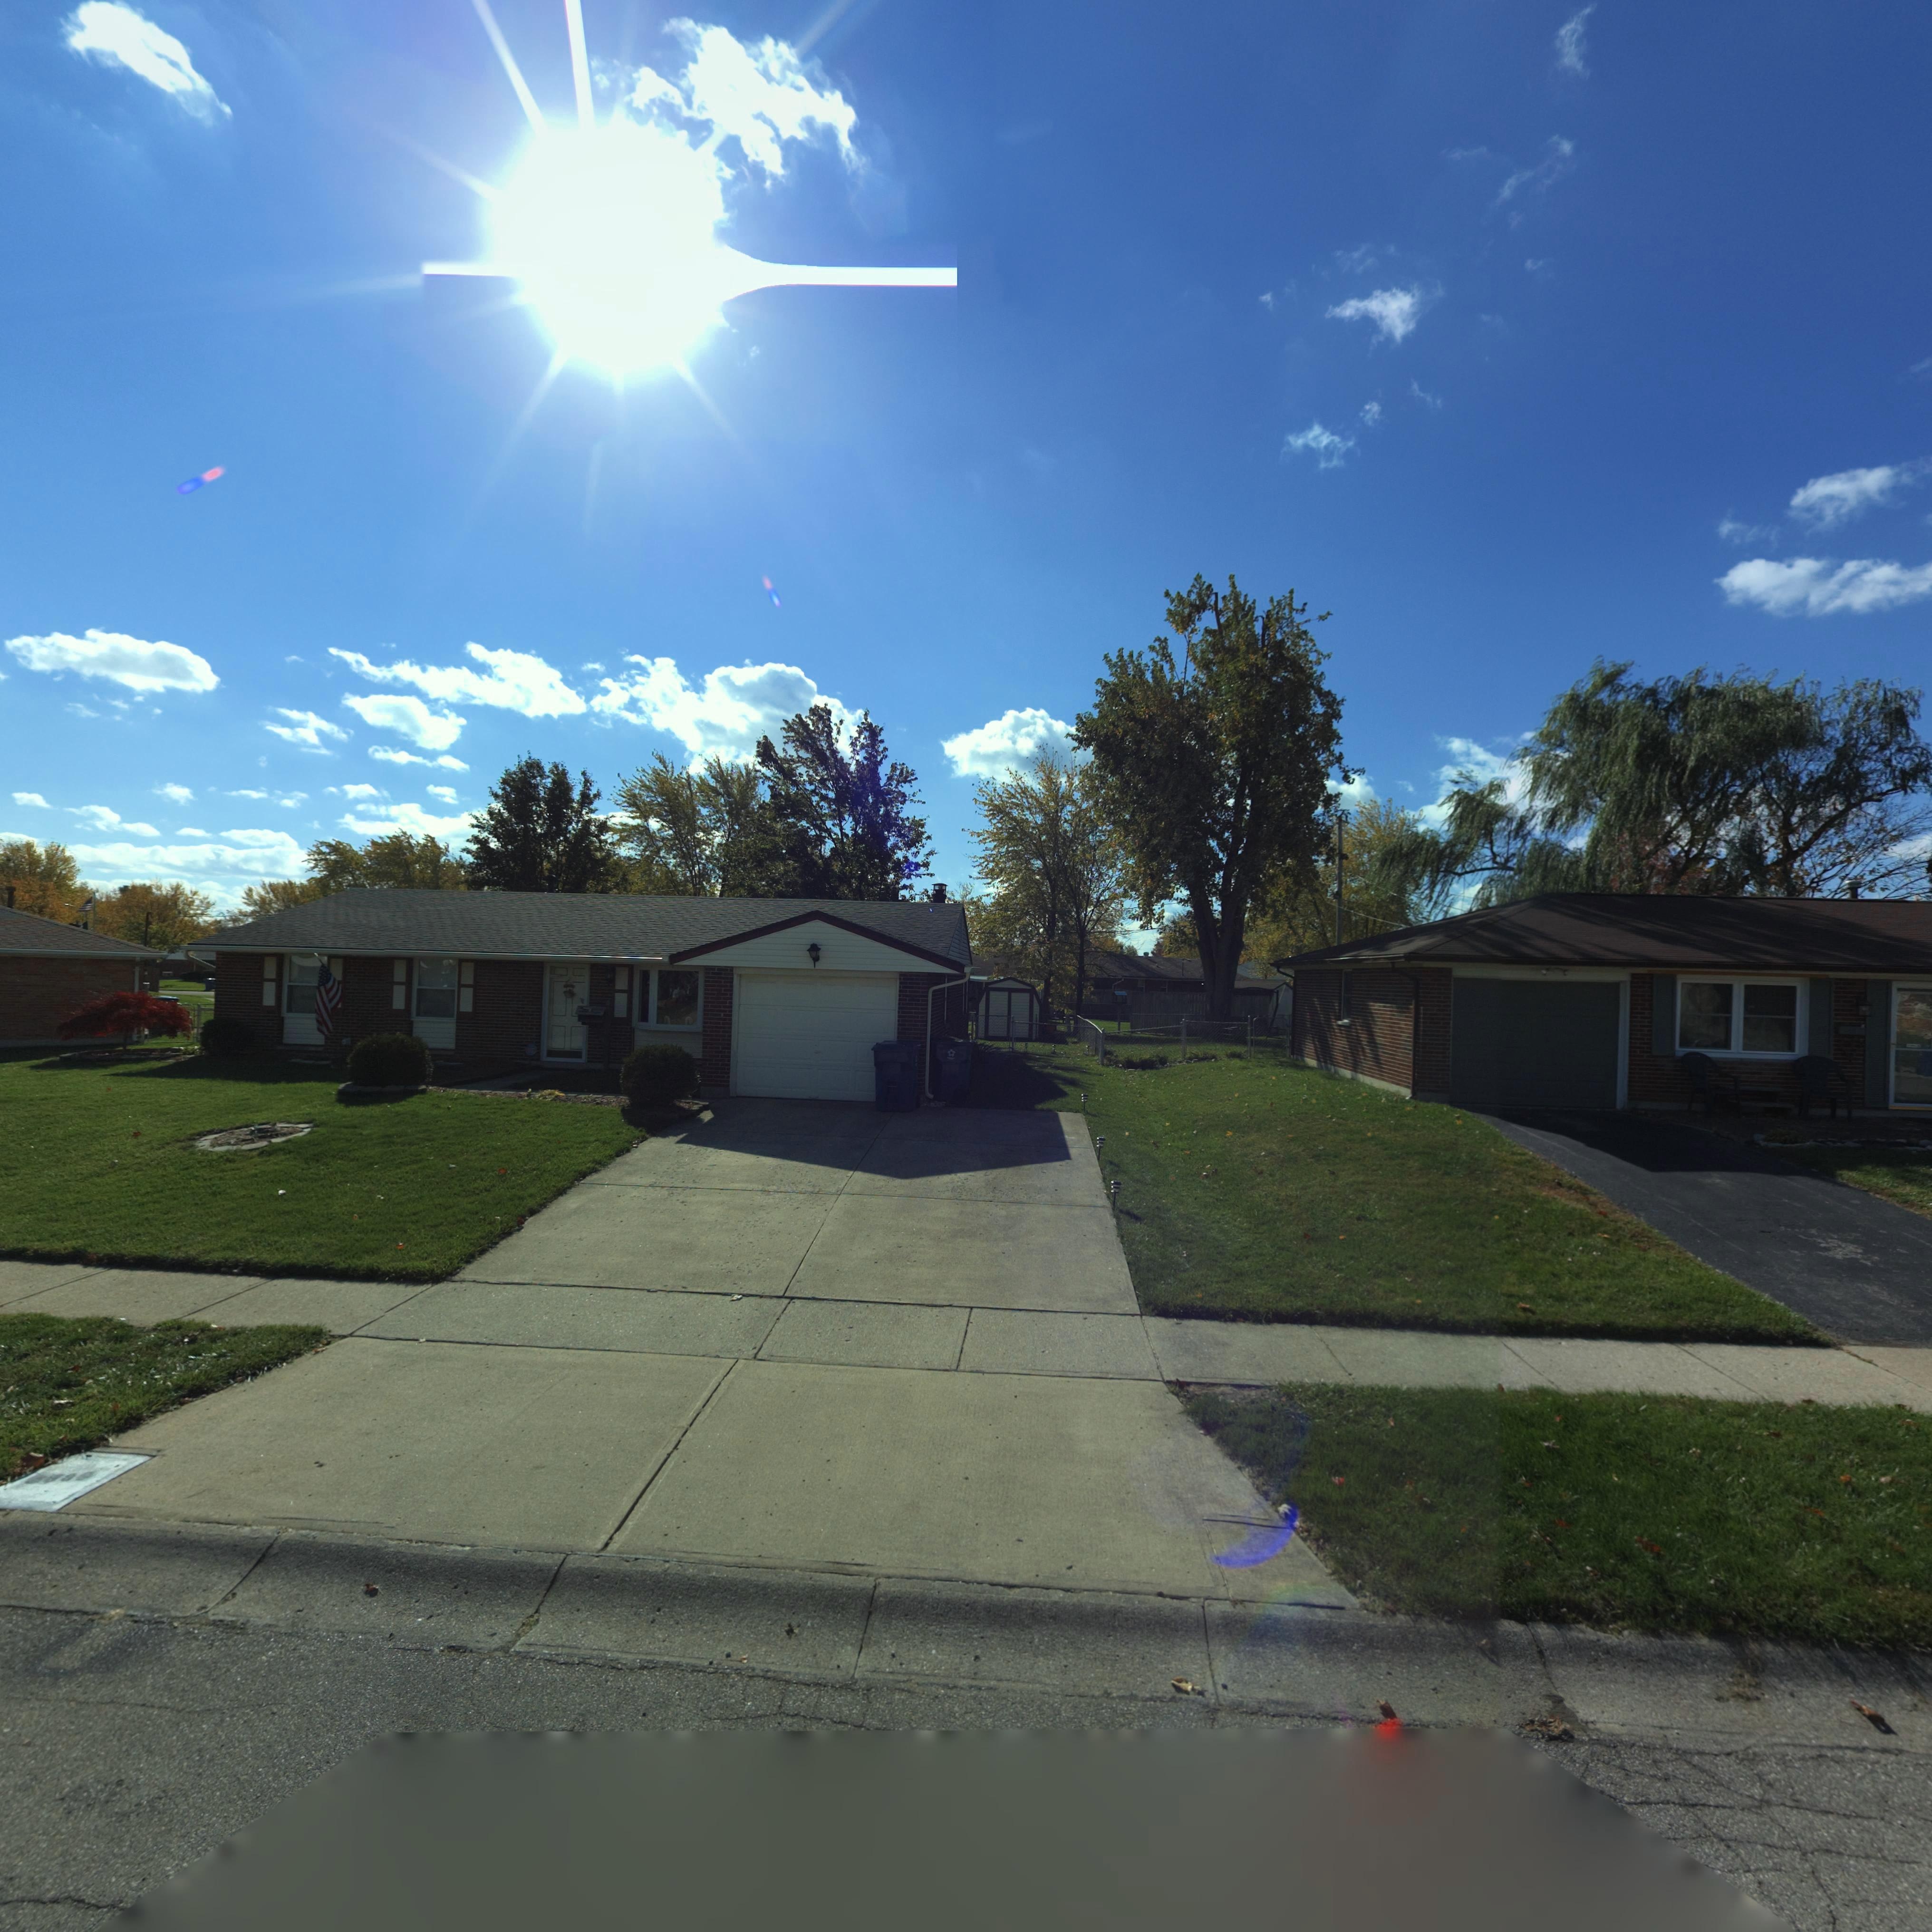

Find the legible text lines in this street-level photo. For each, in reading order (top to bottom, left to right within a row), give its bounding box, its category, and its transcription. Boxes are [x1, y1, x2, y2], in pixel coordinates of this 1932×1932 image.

[58, 1470, 96, 1483] StreetNumber: 80